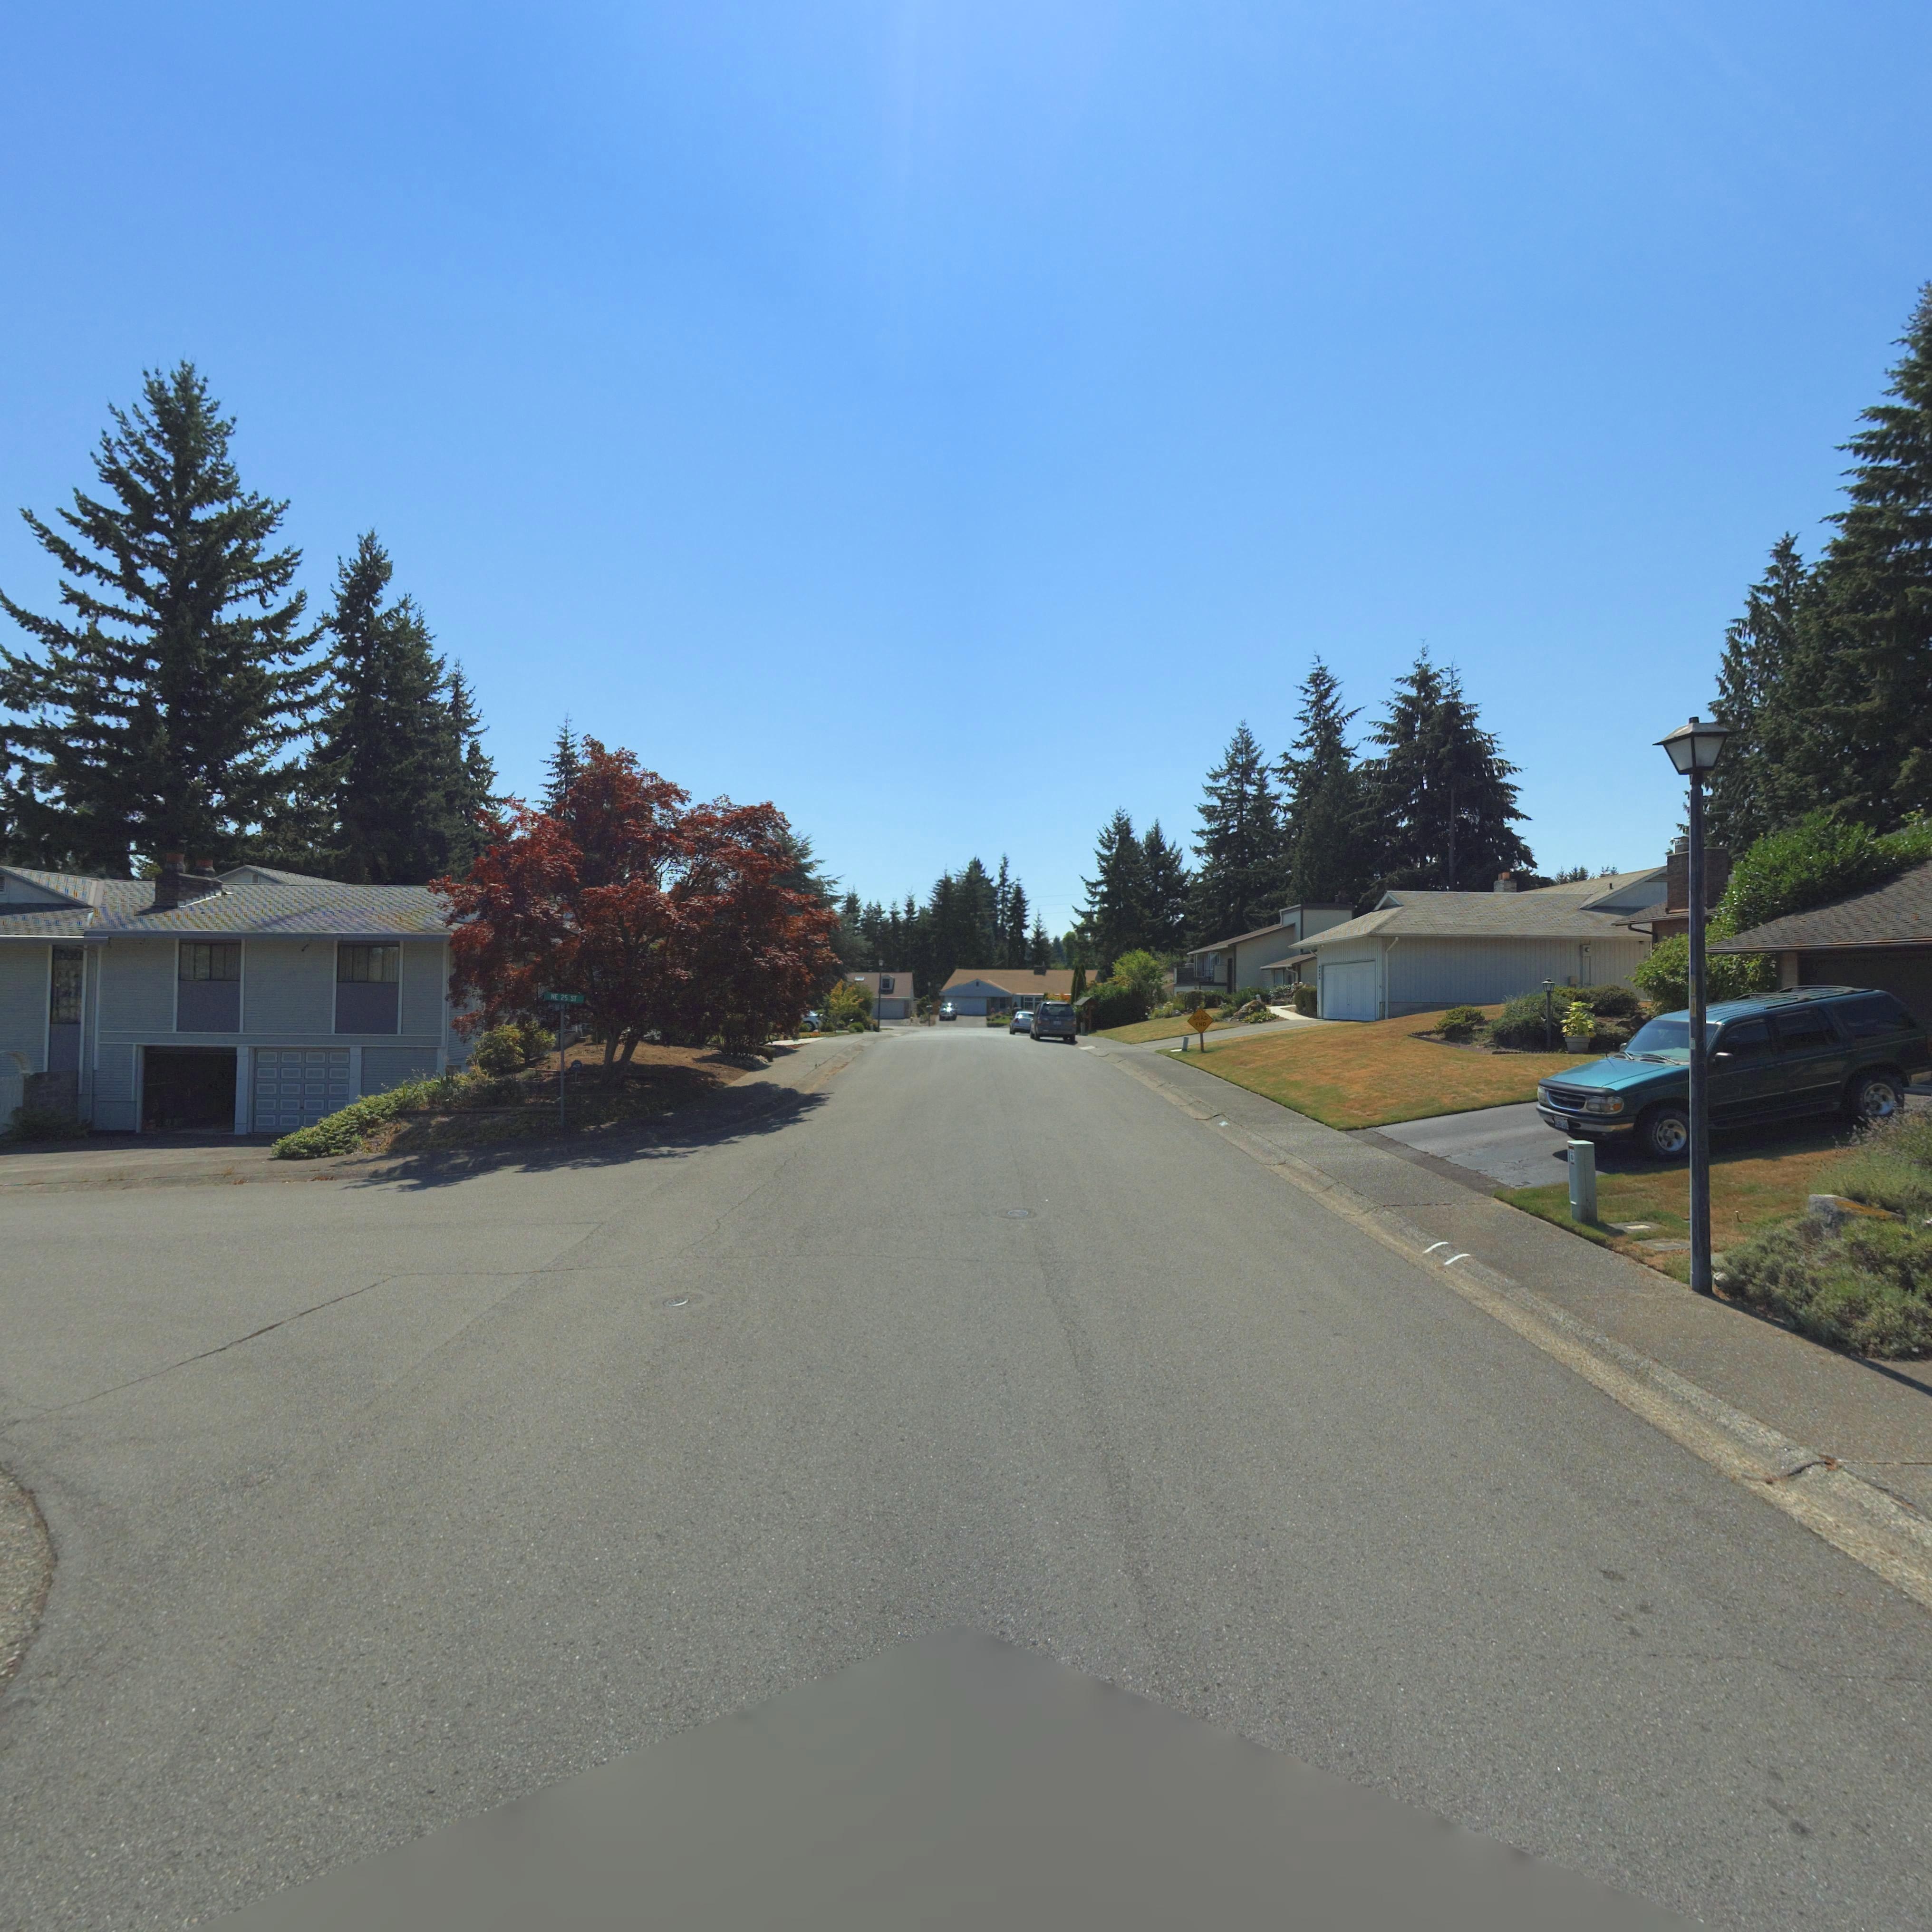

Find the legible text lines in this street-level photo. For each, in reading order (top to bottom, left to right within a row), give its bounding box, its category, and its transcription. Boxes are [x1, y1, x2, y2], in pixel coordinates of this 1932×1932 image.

[551, 994, 576, 1001] StreetName: NE 25 ST